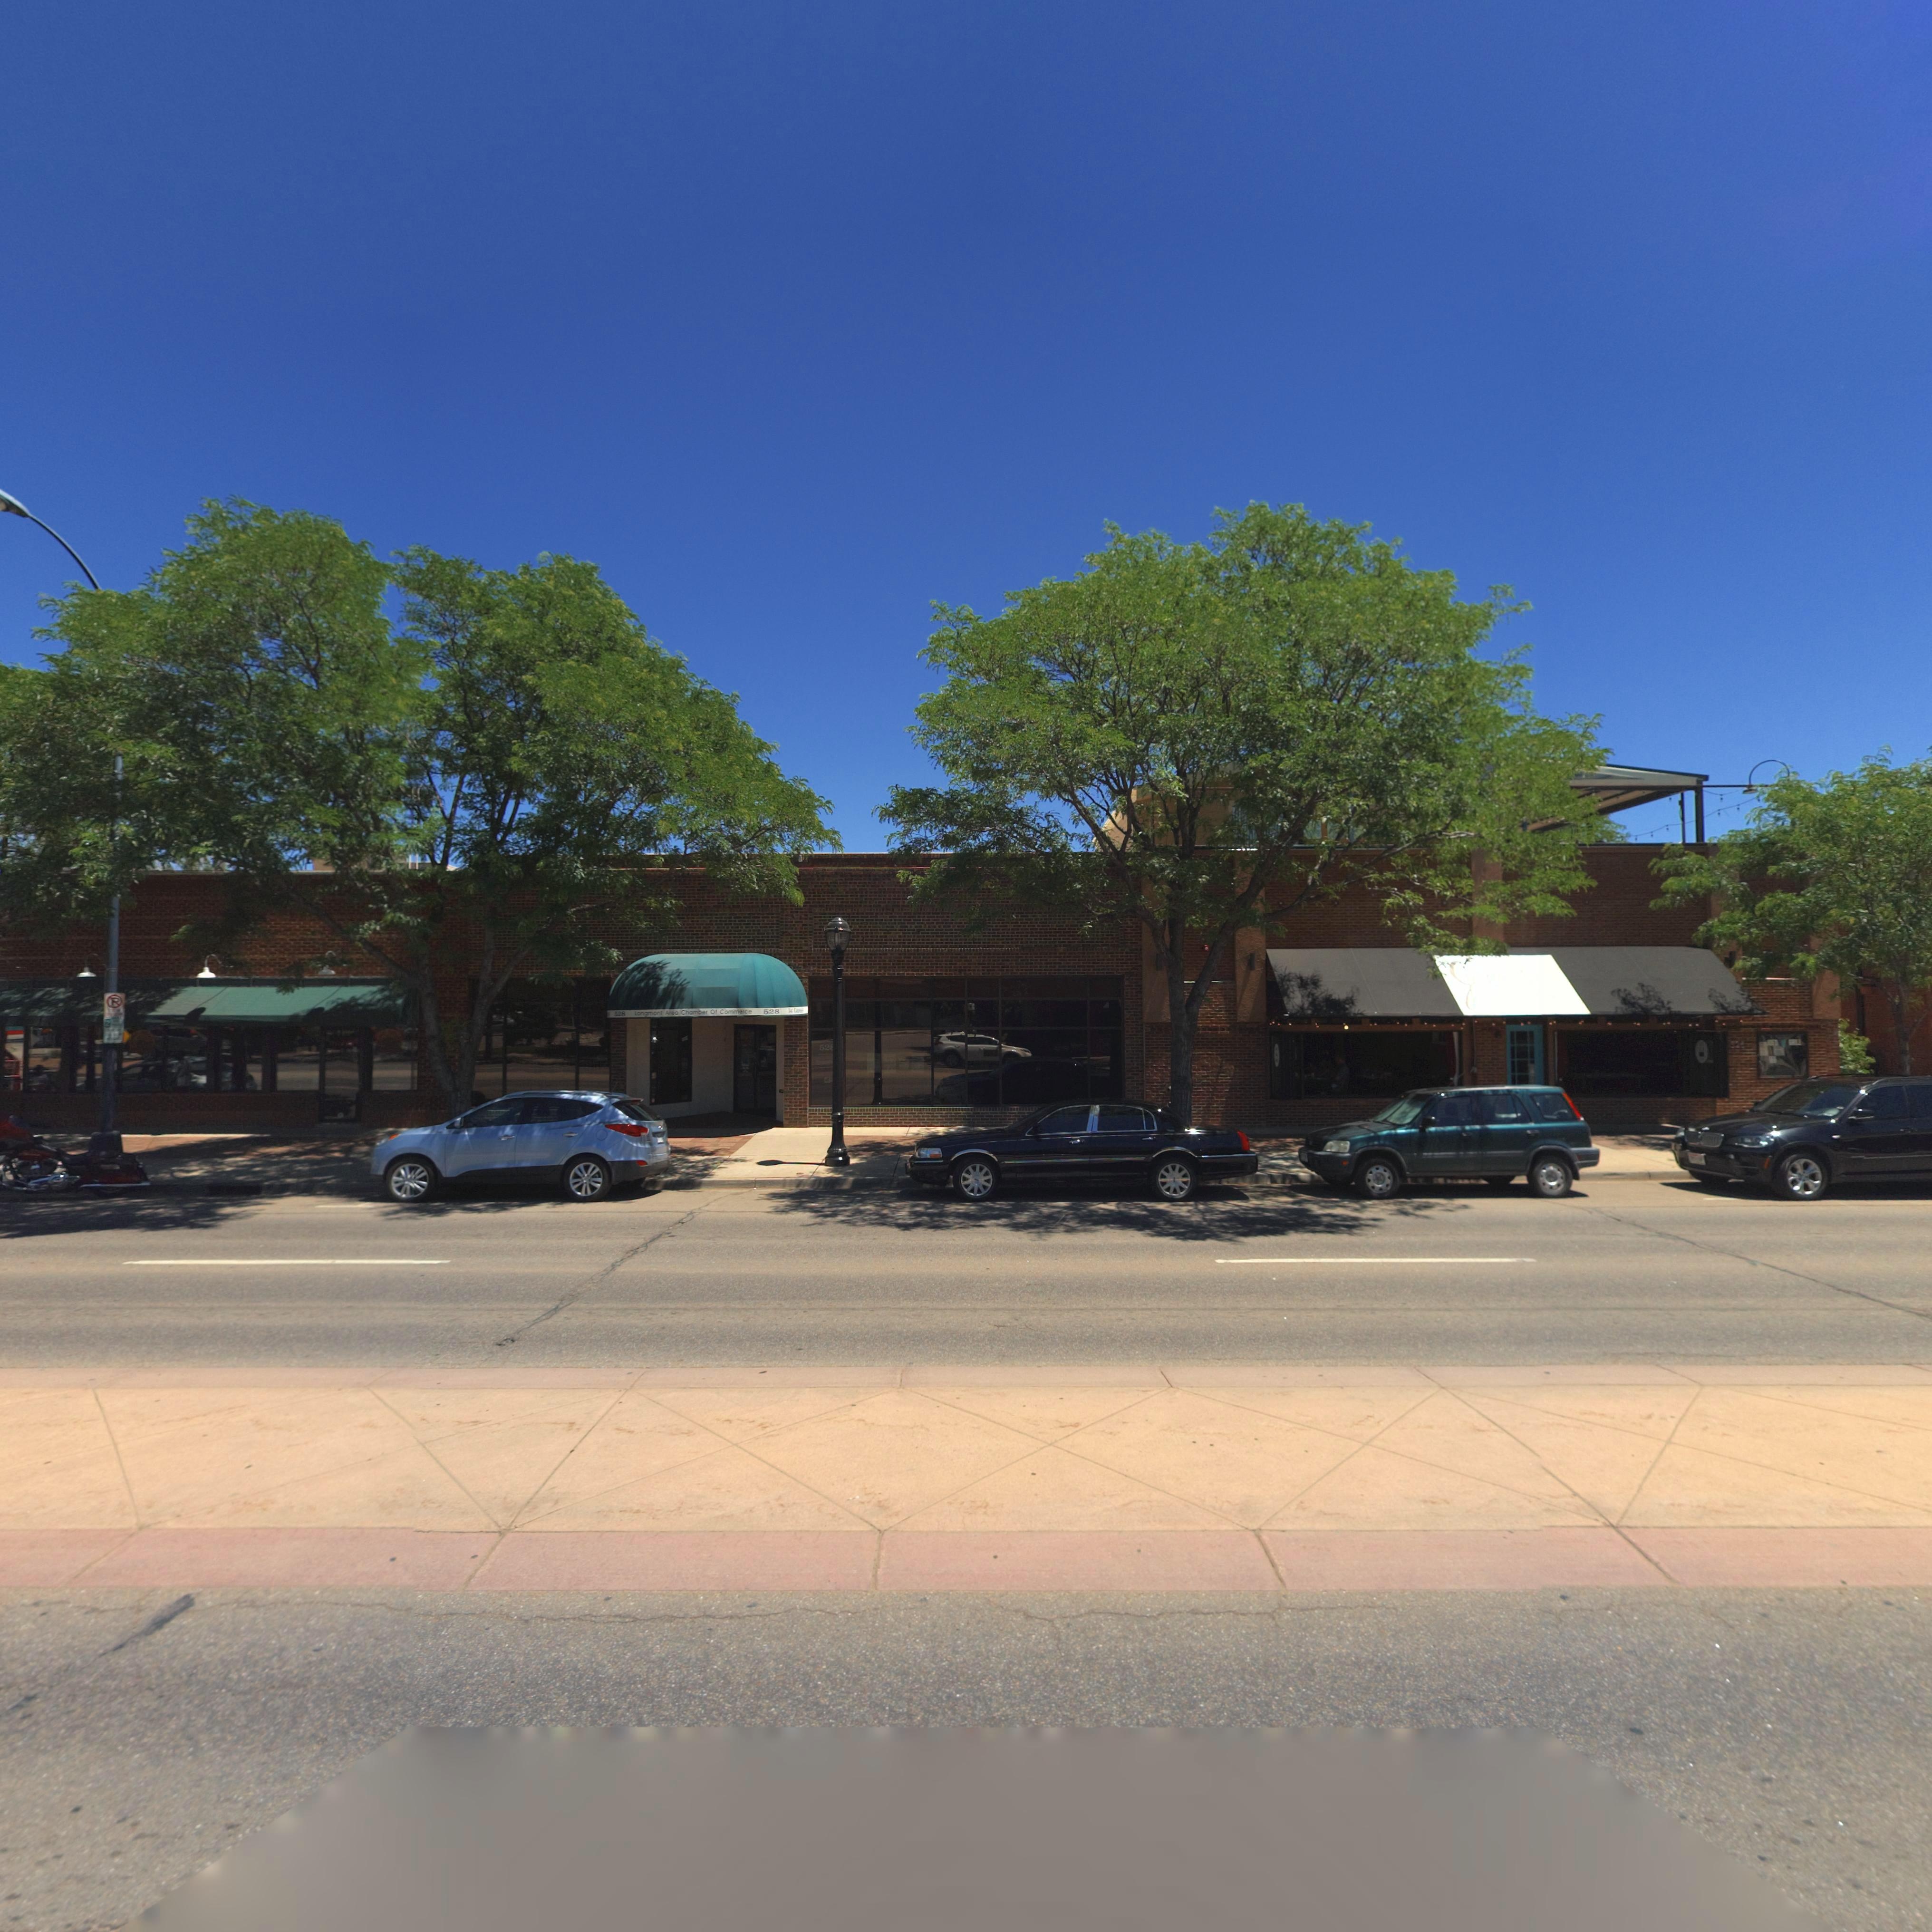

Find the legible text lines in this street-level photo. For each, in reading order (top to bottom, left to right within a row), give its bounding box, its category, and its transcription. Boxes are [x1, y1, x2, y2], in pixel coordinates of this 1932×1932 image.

[613, 1011, 626, 1016] StreetNumber: 528
[634, 1009, 752, 1017] BusinessName: Longmont Area Chamber Of Commerce
[763, 1008, 780, 1014] StreetNumber: 528
[1764, 1038, 1803, 1046] BusinessName: JOE'S GRILL
[819, 1043, 835, 1051] StreetNumber: 52*